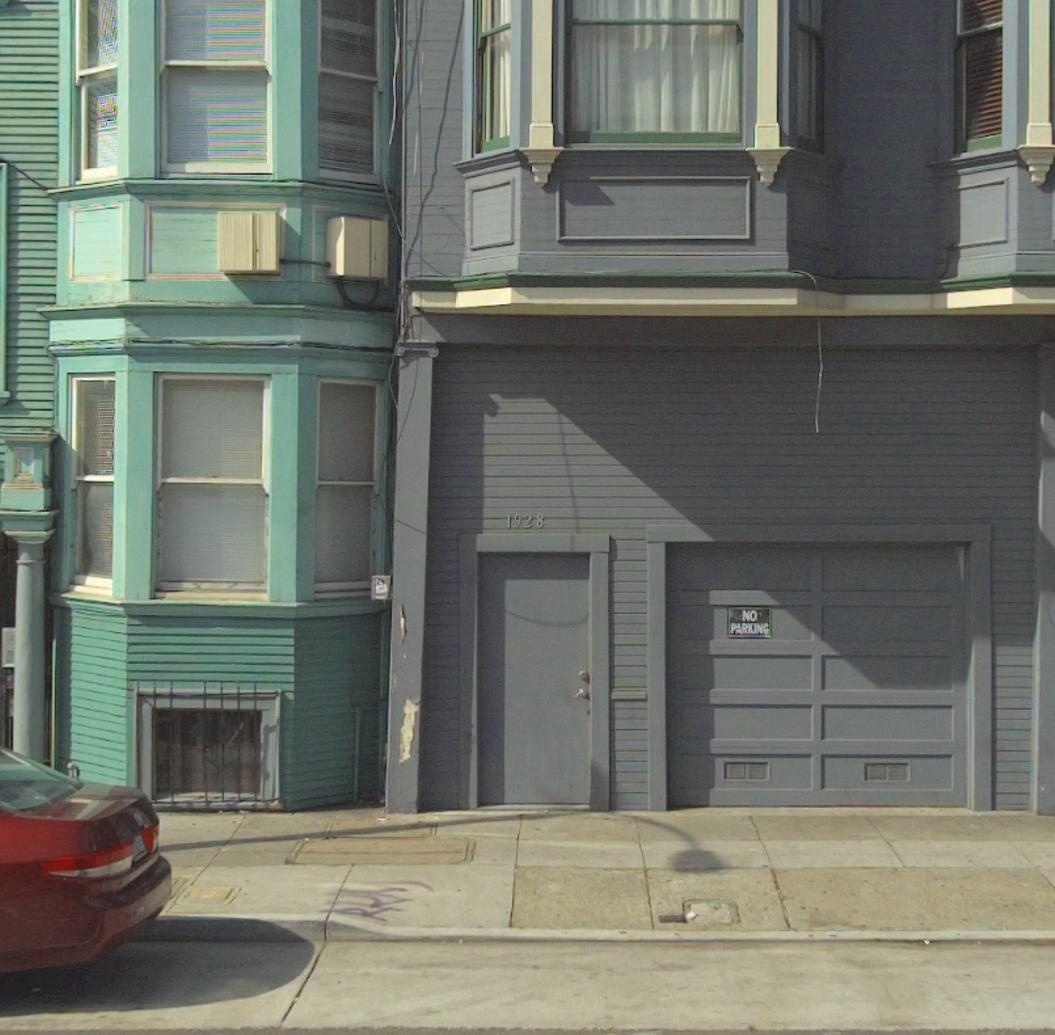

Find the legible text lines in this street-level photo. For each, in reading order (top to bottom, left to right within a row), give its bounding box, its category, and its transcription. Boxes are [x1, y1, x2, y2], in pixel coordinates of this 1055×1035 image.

[503, 511, 546, 533] StreetNumber: 1928
[739, 607, 762, 625] None: NO
[728, 621, 771, 637] None: PARKING